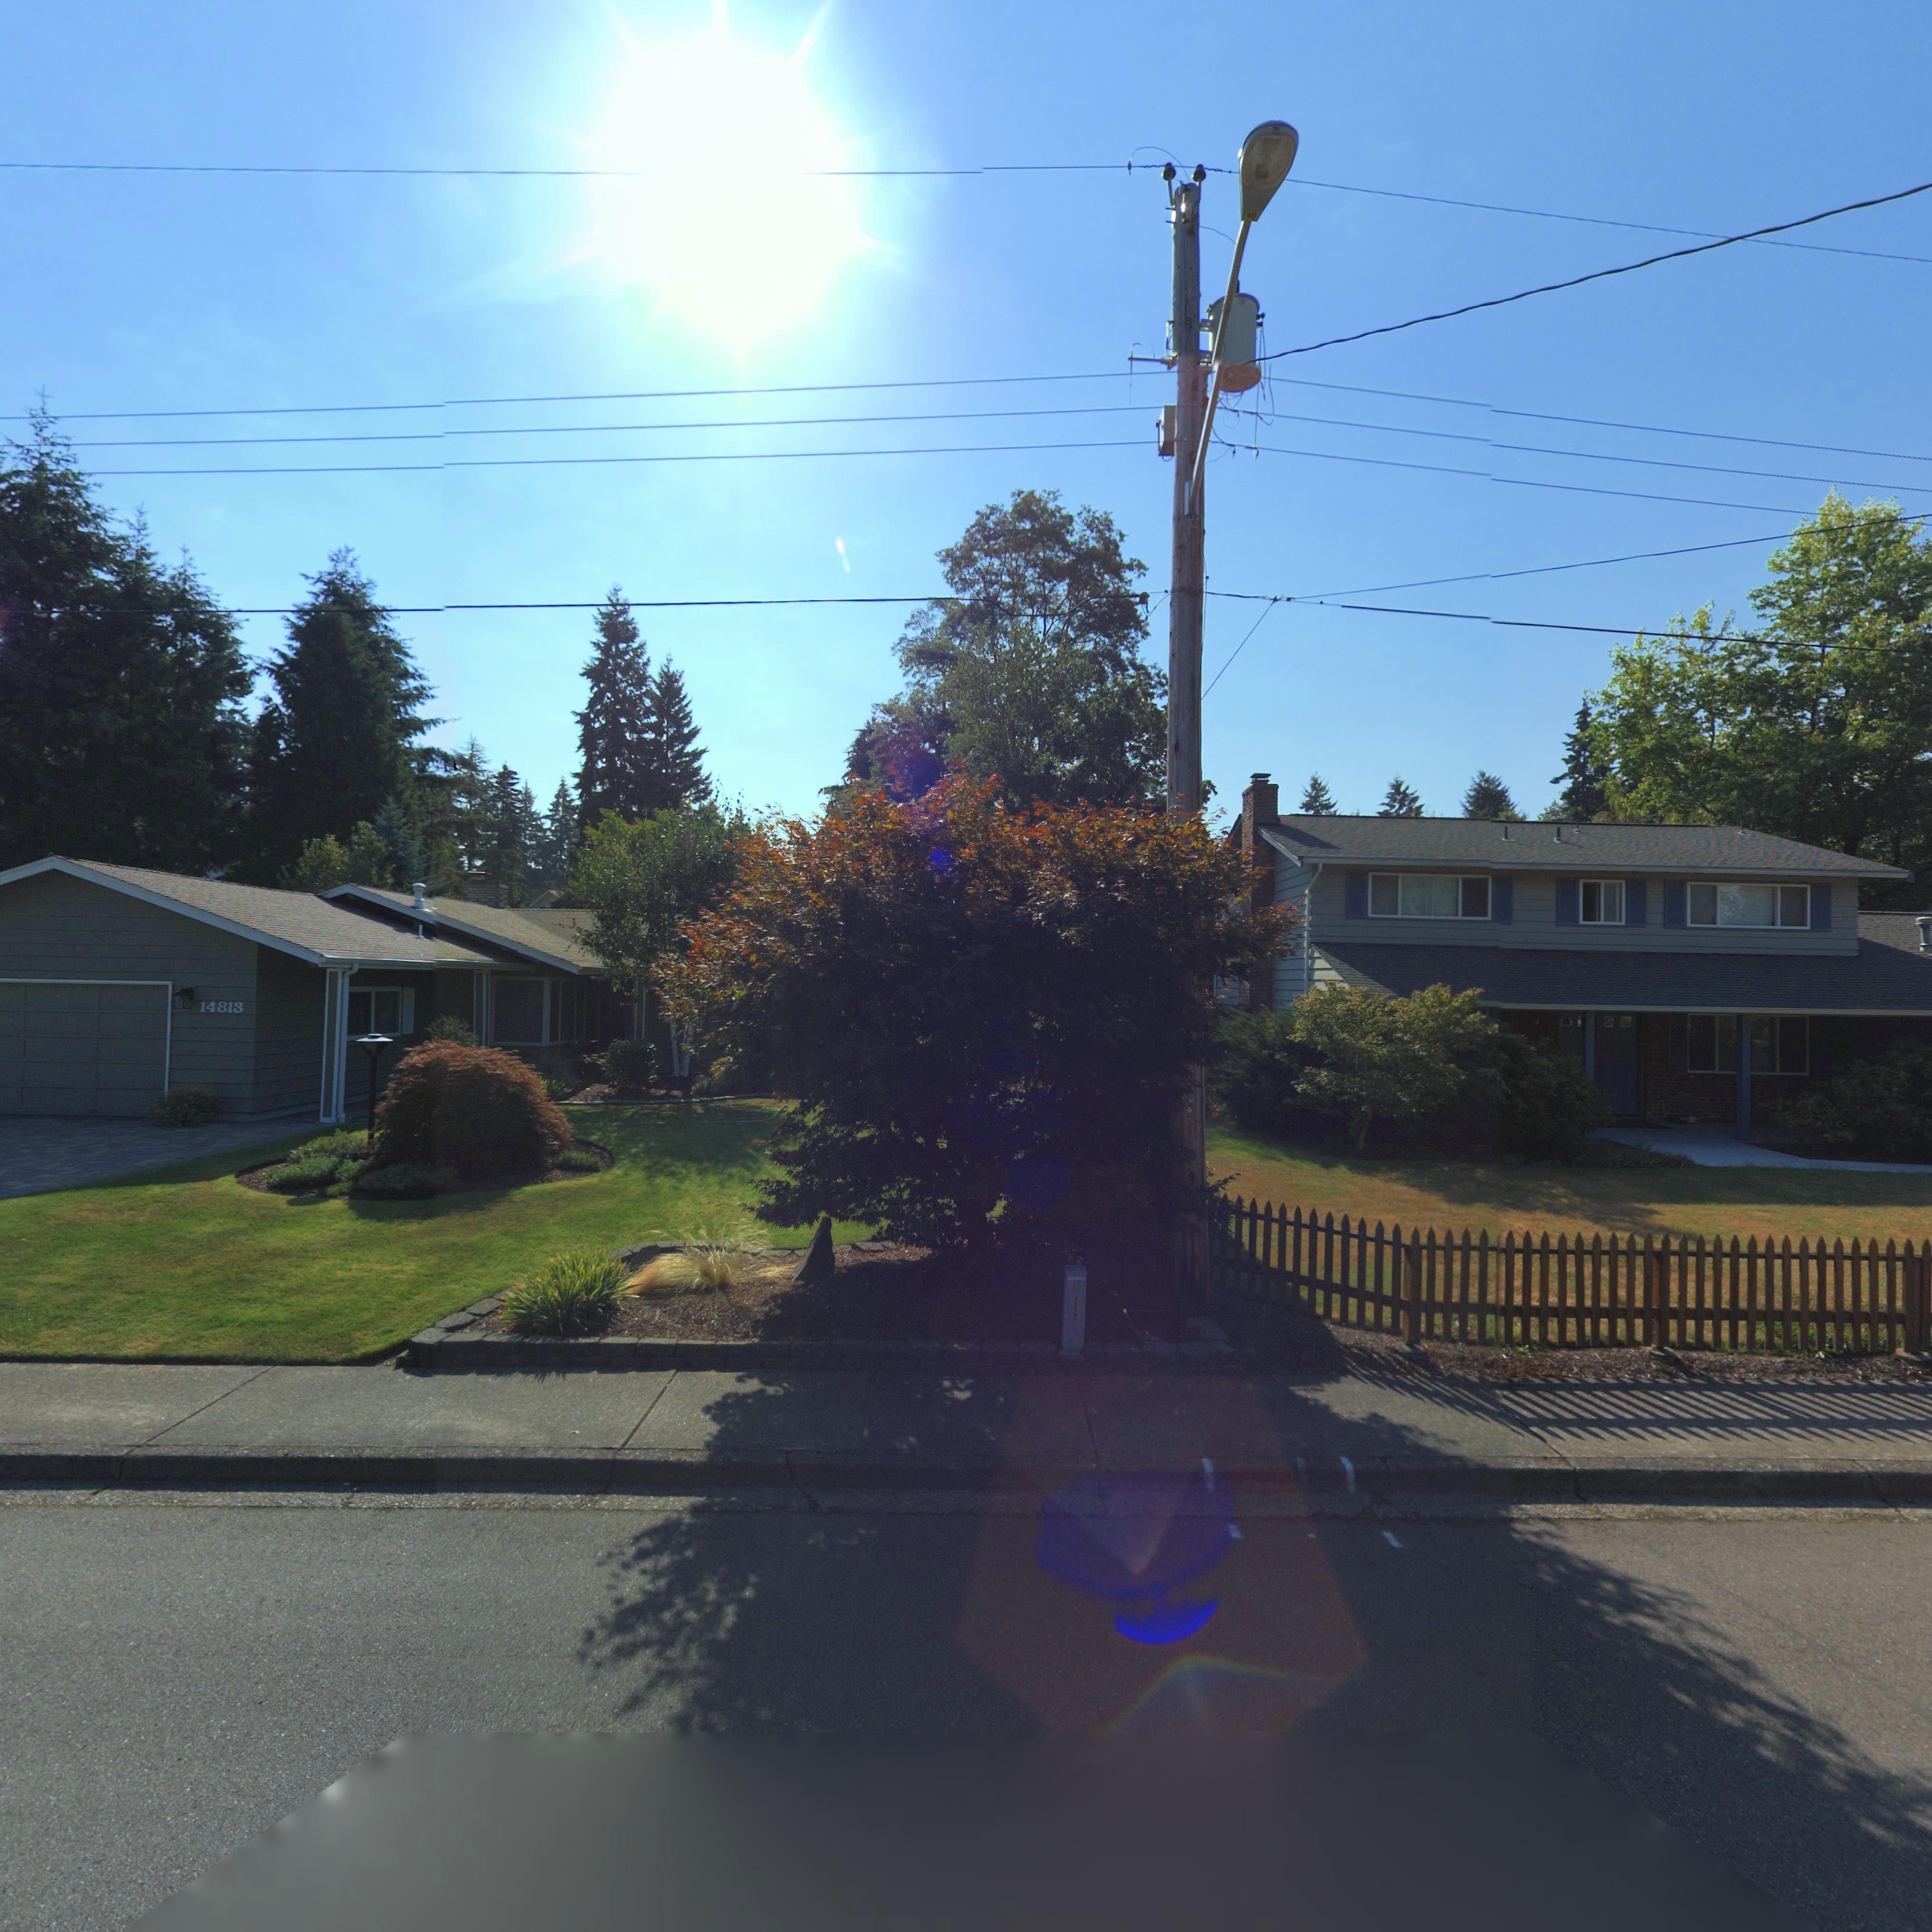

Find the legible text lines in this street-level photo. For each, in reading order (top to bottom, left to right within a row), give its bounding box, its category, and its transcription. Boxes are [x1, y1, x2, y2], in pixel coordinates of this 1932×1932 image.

[198, 1000, 243, 1014] StreetNumber: 14813